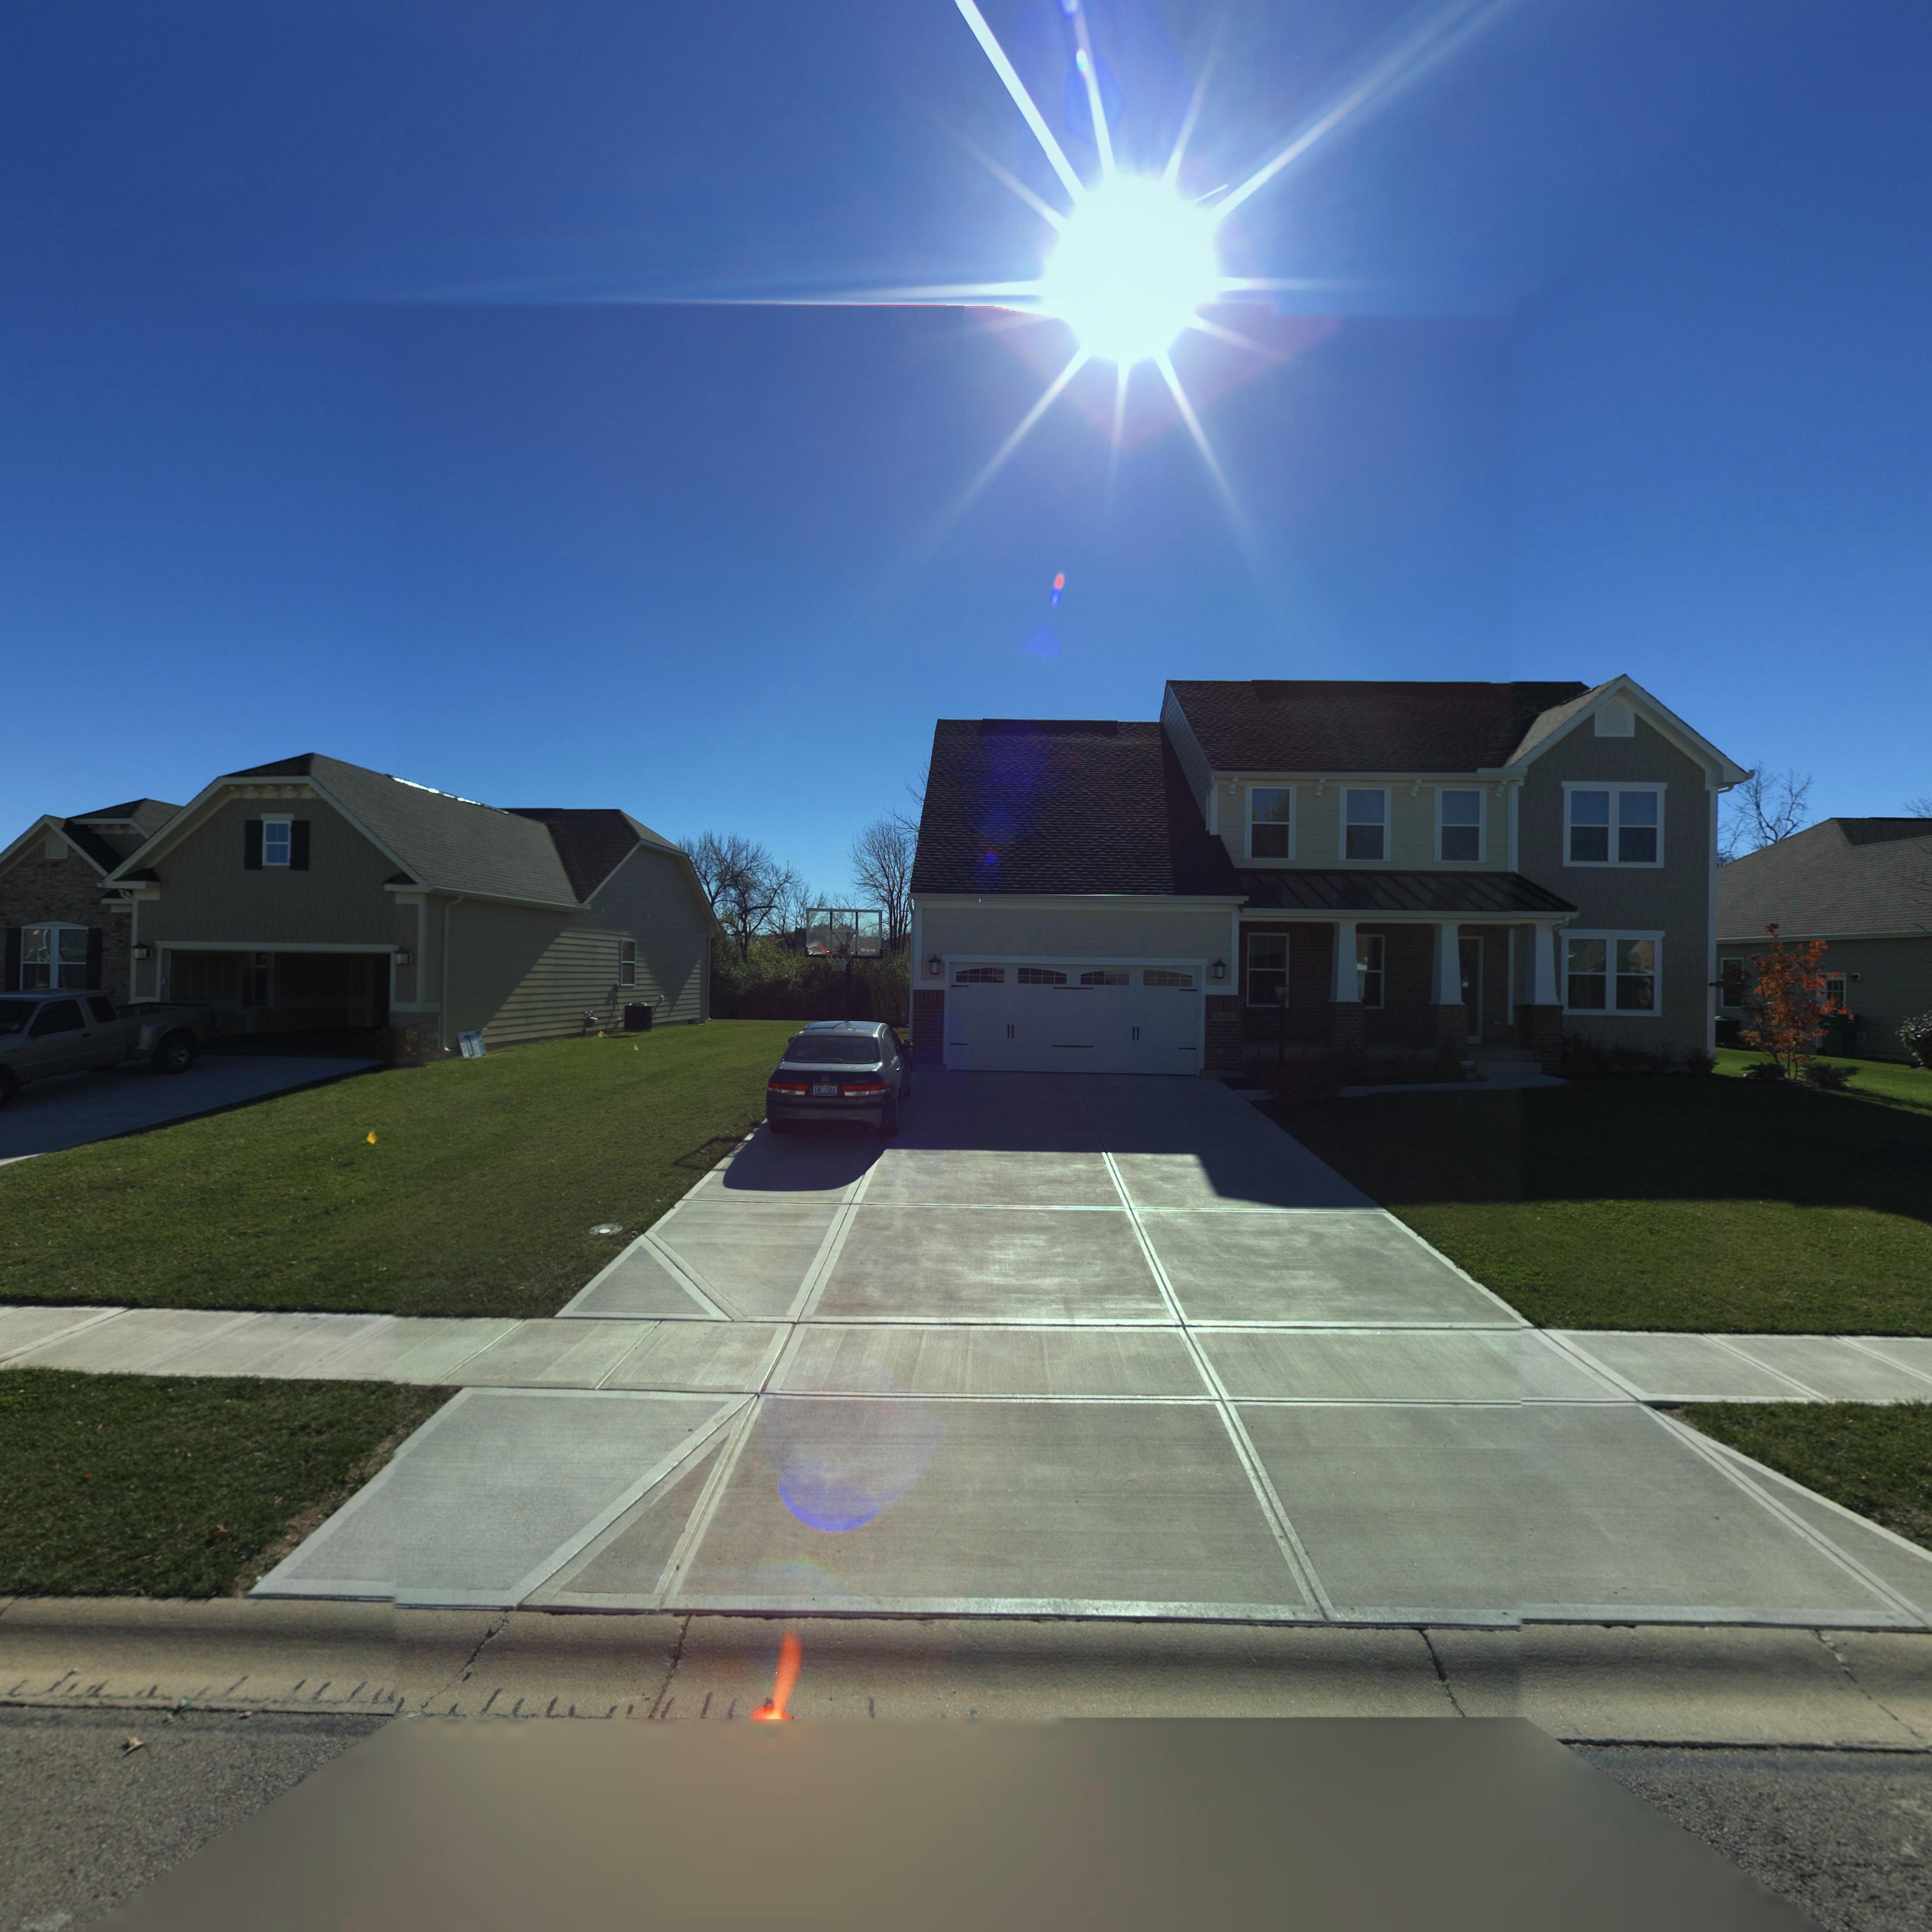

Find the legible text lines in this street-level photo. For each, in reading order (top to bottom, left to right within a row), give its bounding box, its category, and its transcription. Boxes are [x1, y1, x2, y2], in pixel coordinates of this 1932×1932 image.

[1215, 1014, 1234, 1020] StreetNumber: 6*56